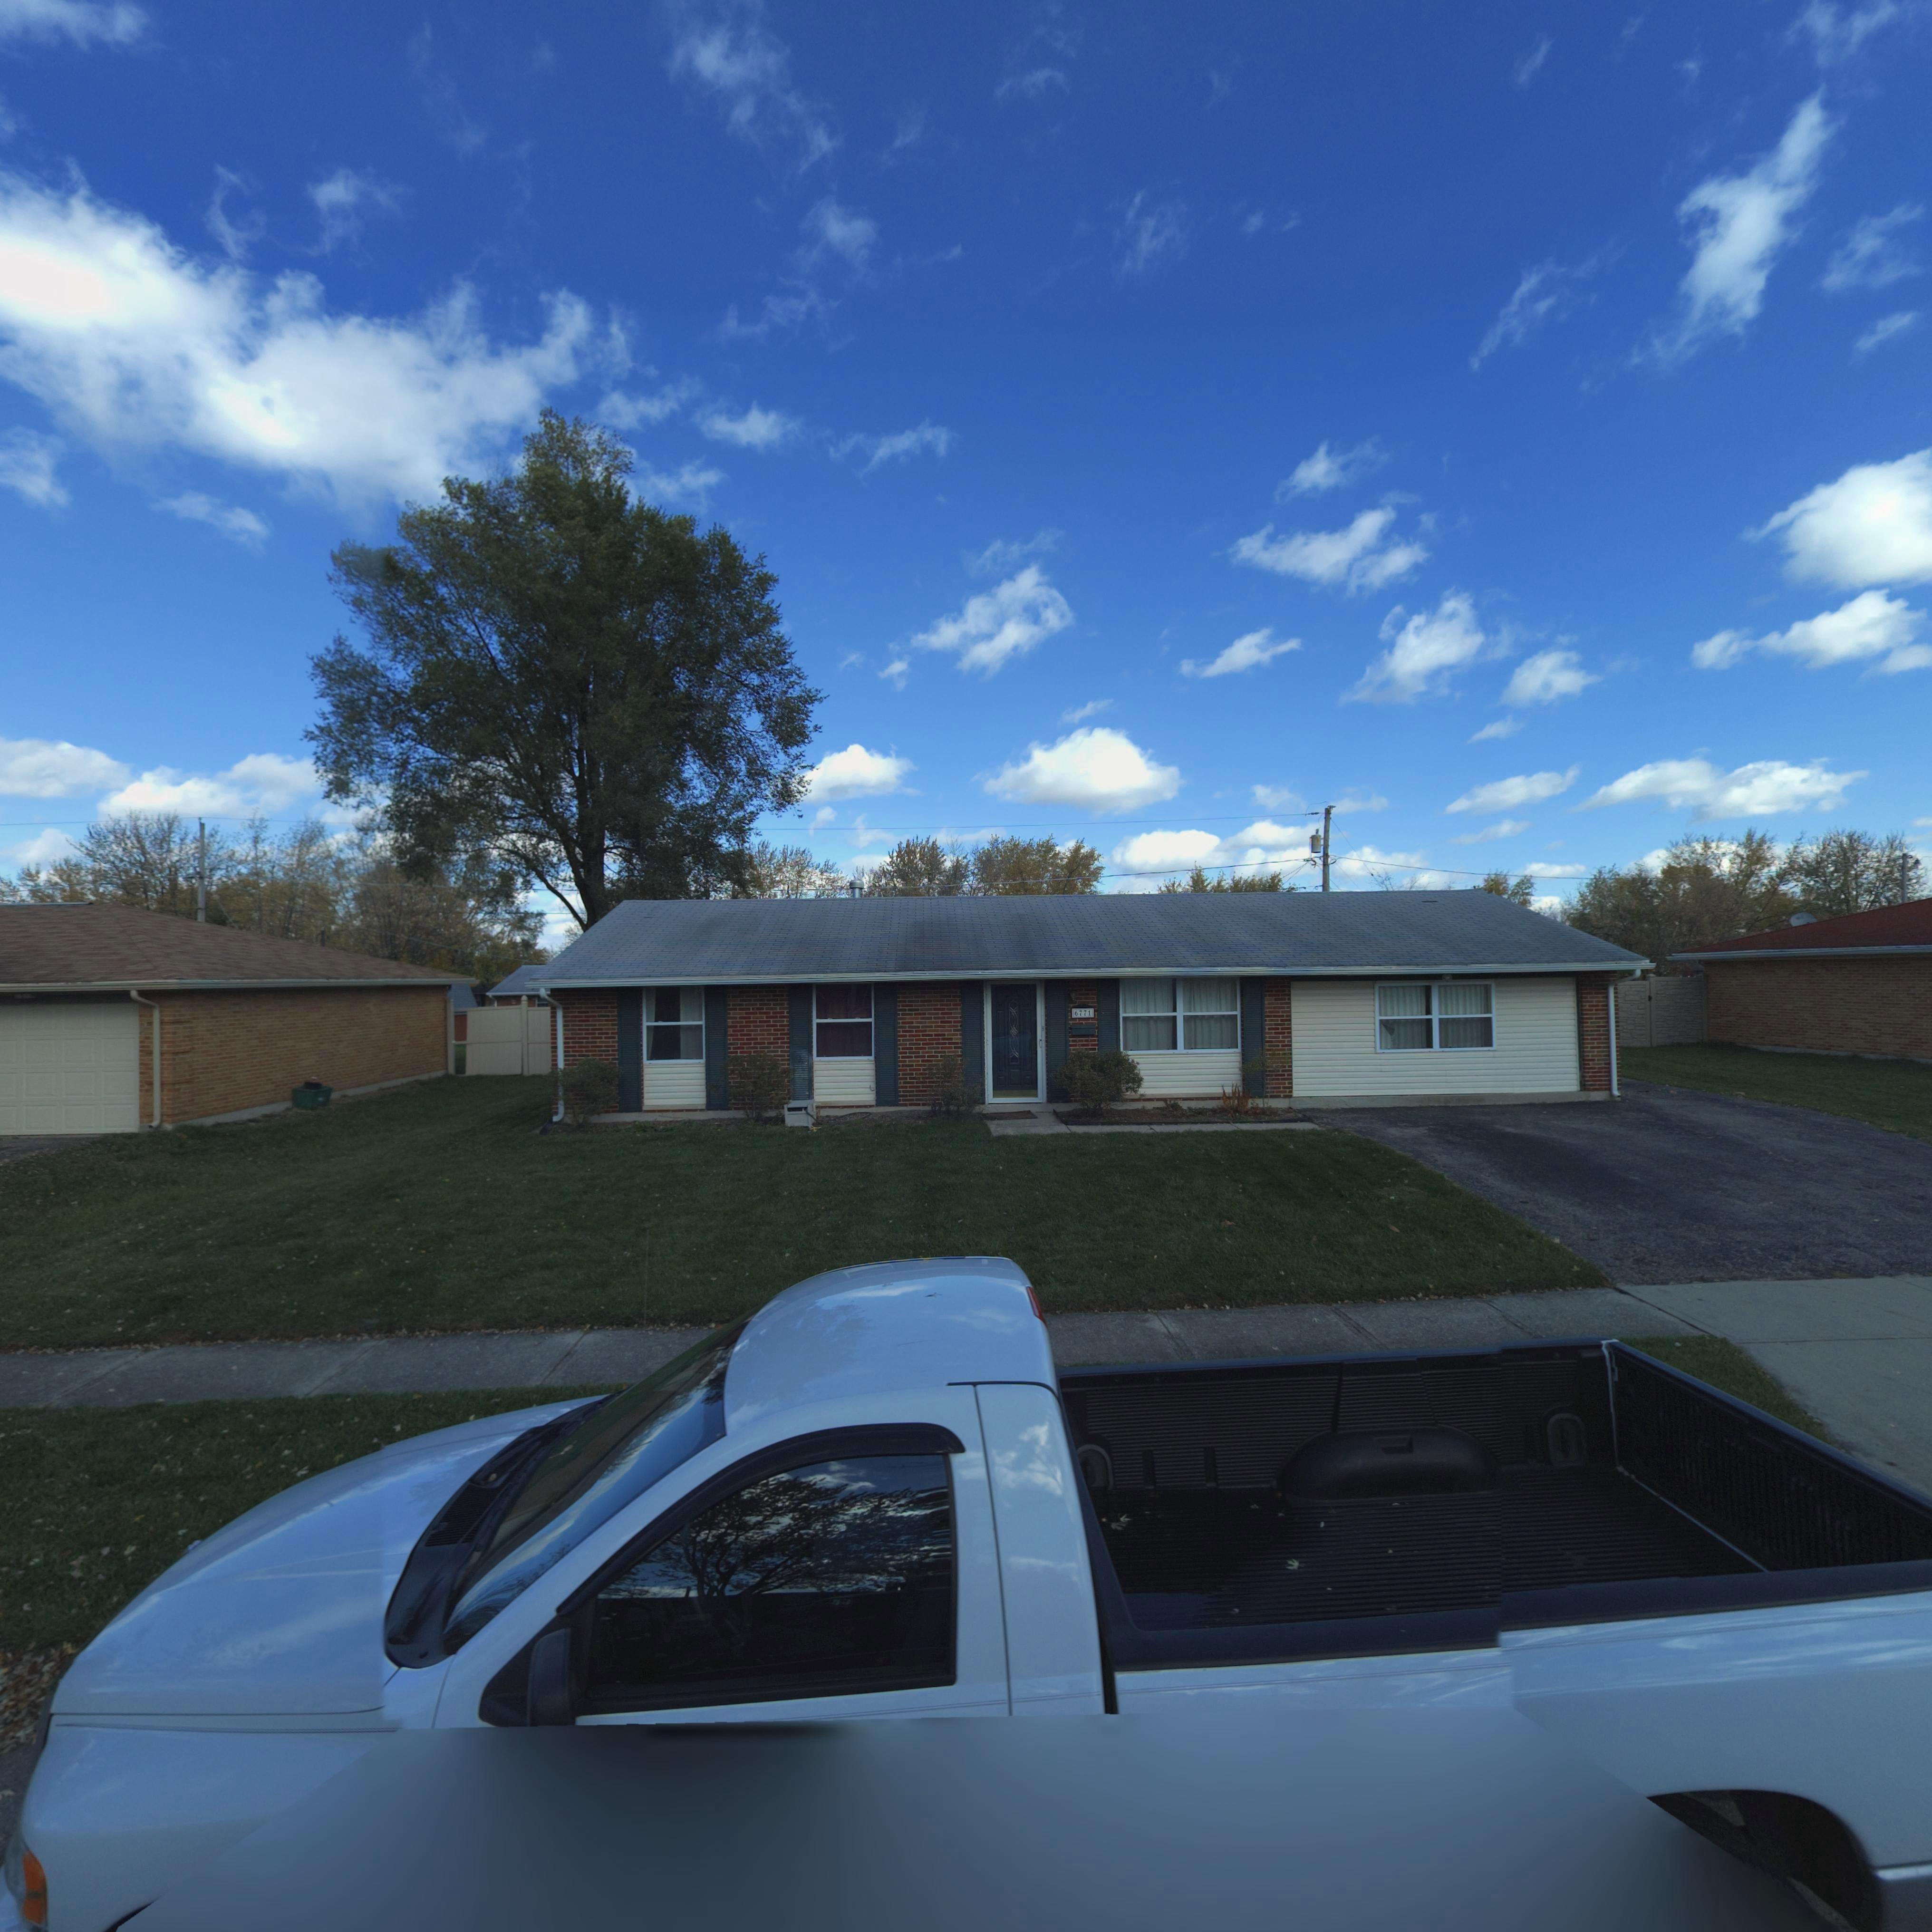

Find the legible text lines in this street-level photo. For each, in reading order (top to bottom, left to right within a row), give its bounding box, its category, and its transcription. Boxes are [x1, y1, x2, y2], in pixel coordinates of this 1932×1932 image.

[1074, 1009, 1091, 1016] StreetNumber: 6771